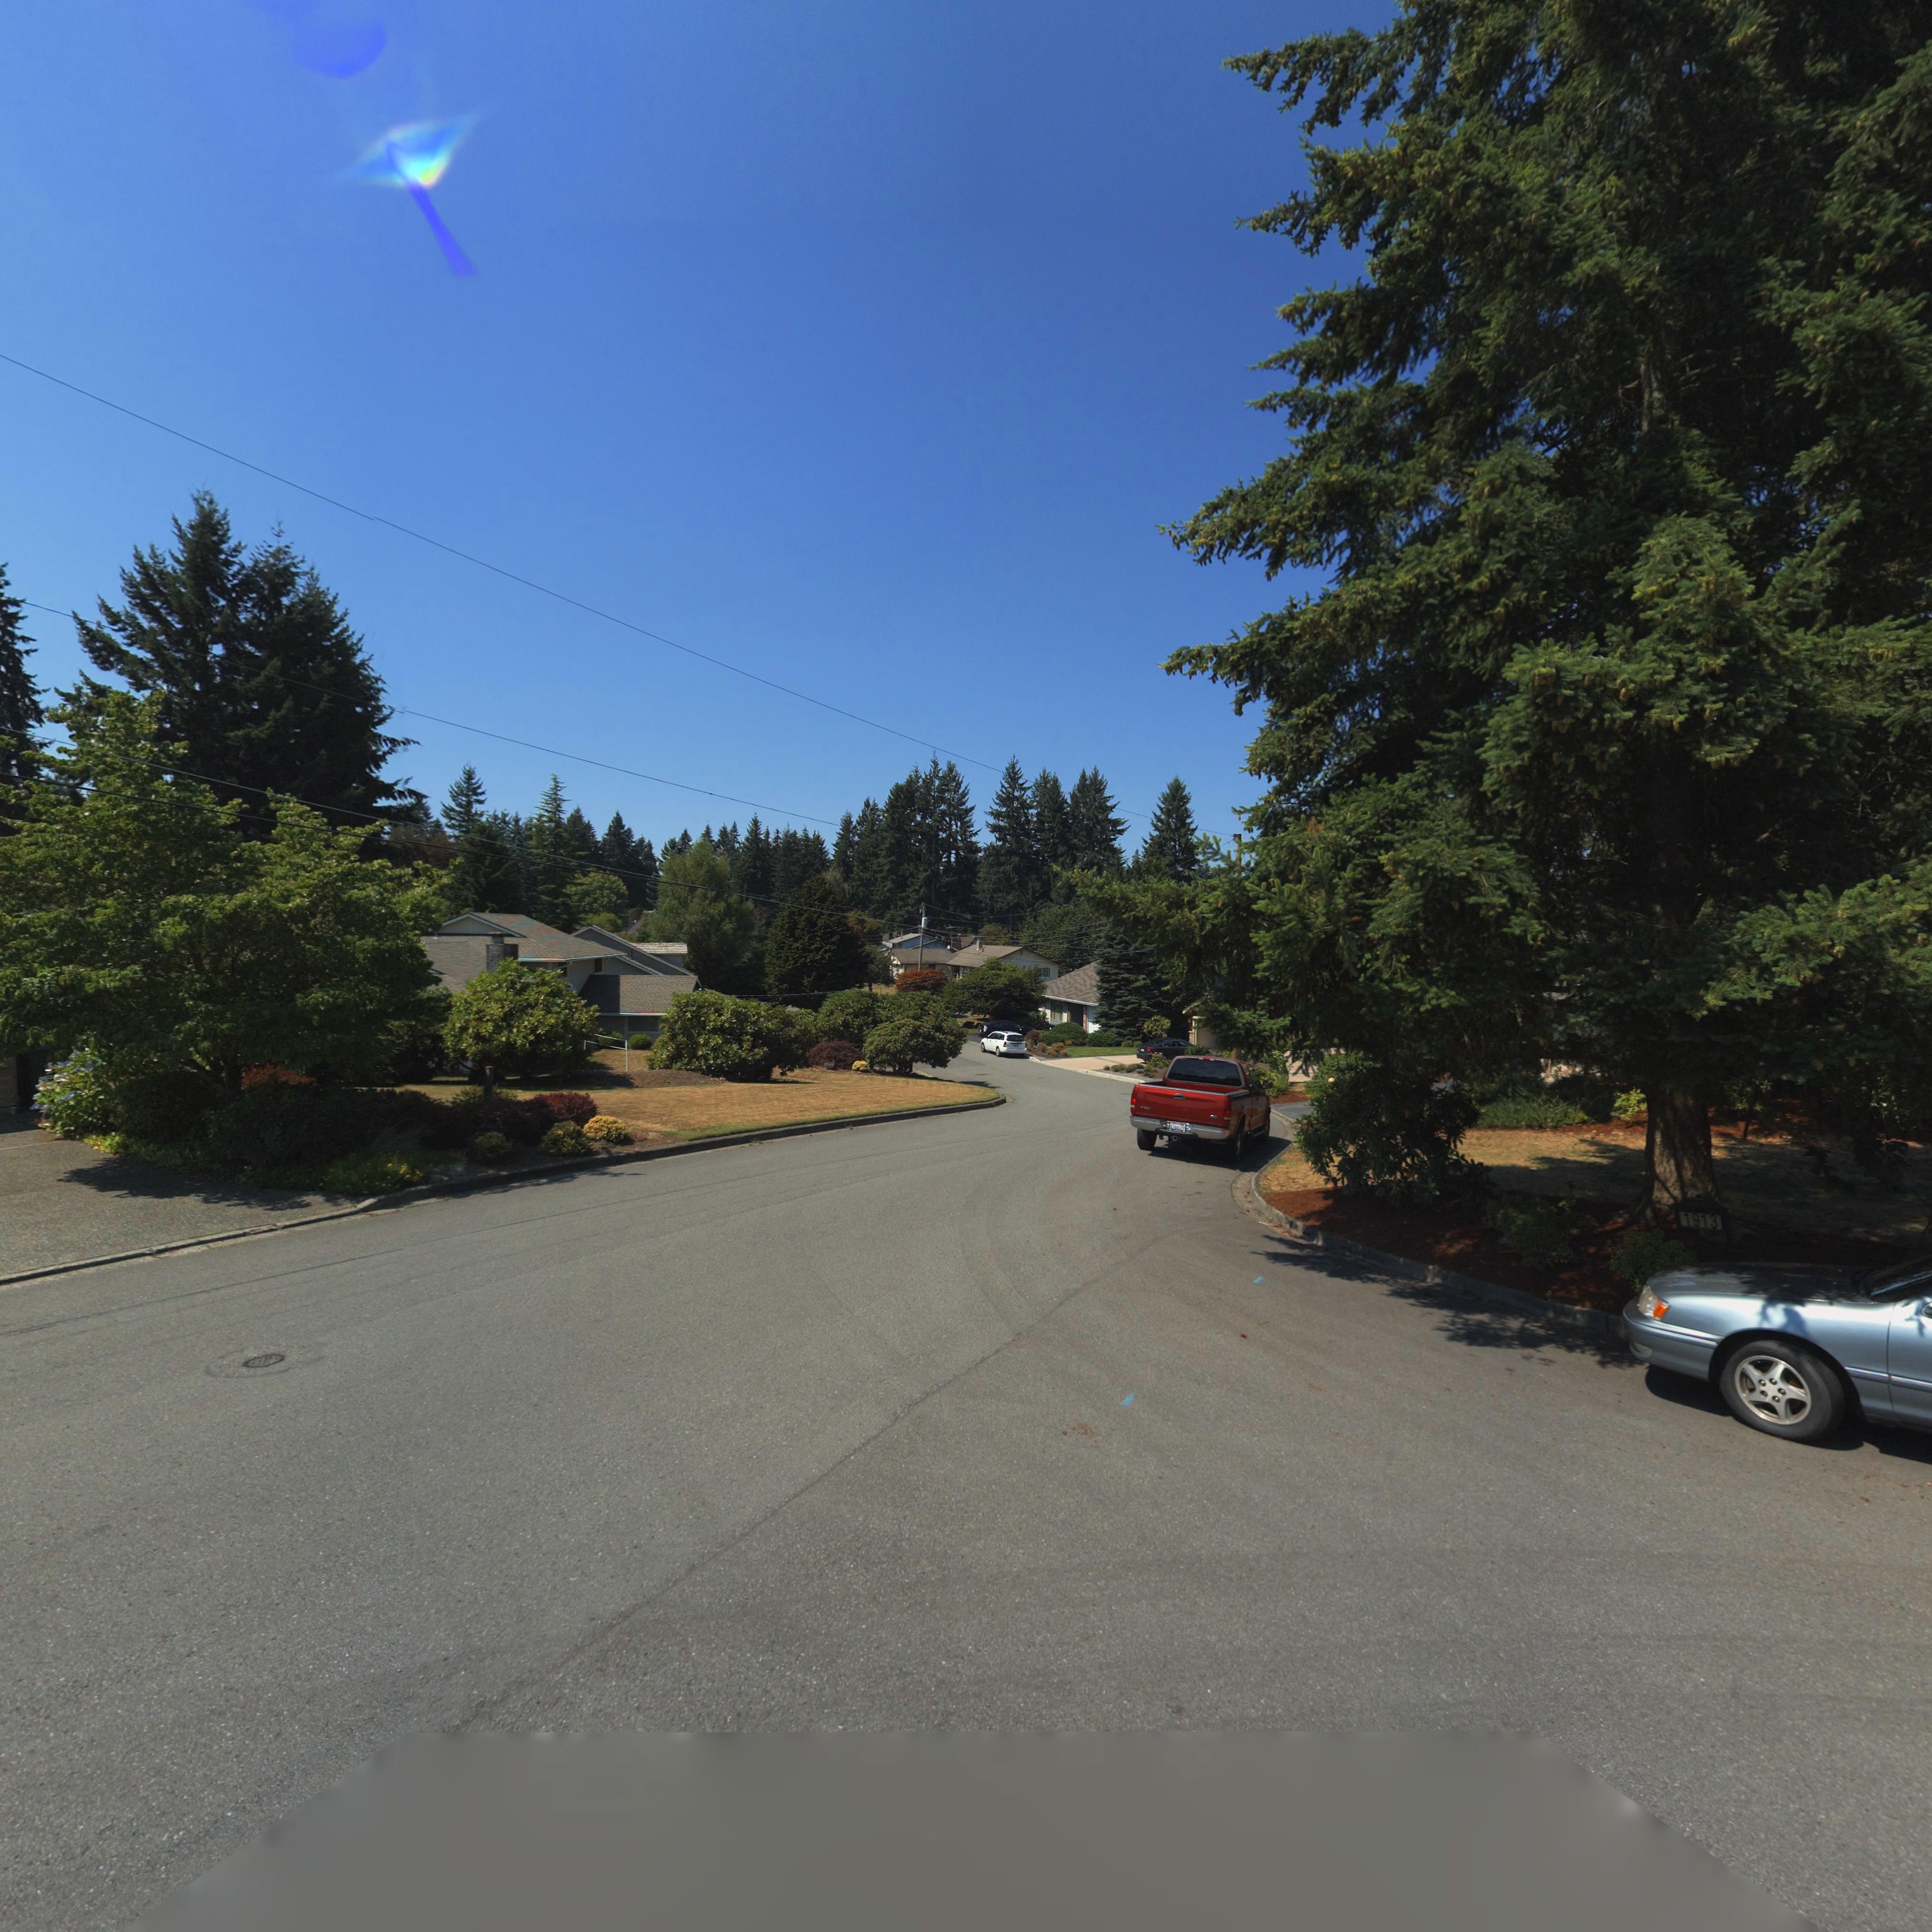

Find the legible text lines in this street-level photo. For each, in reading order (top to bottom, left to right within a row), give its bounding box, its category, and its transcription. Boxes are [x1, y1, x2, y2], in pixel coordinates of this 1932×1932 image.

[1683, 1212, 1718, 1229] StreetNumber: 1913